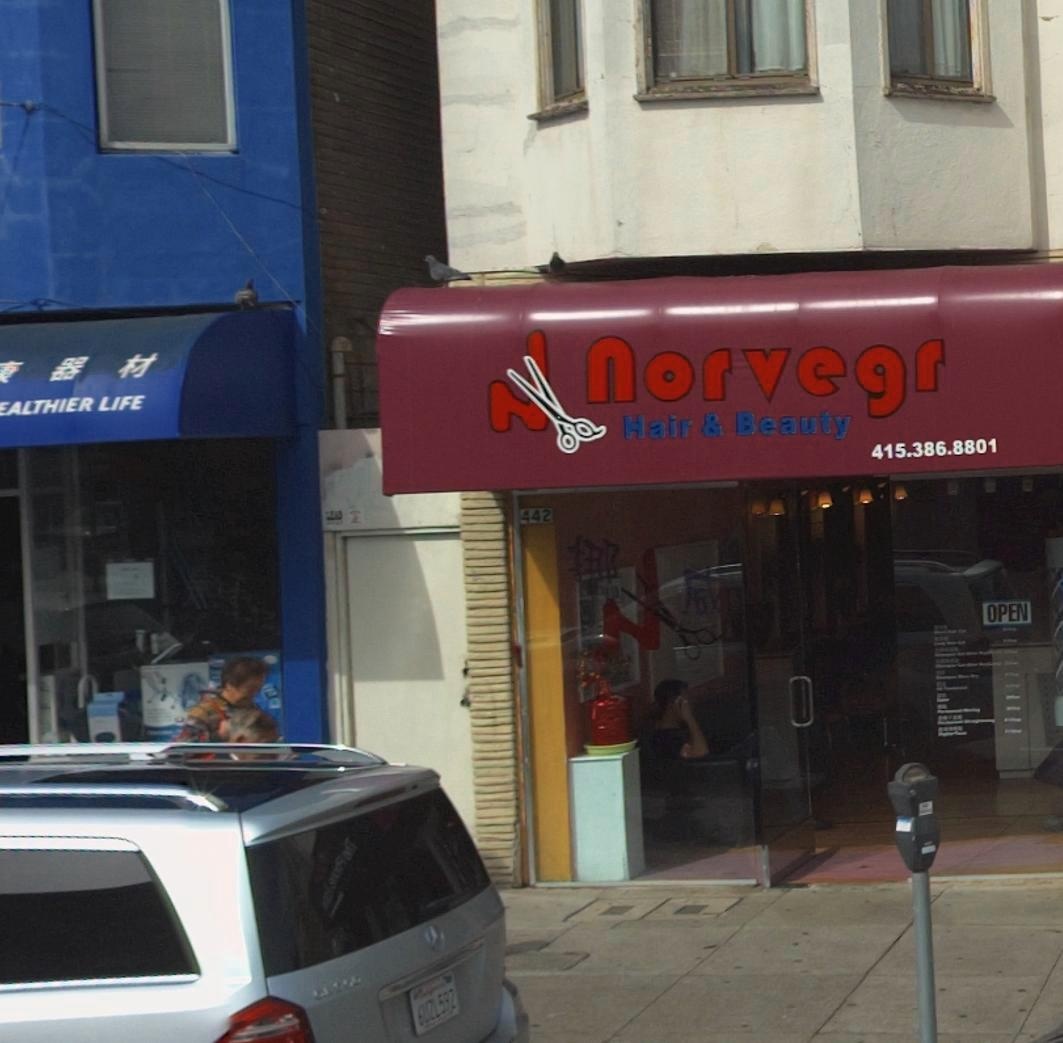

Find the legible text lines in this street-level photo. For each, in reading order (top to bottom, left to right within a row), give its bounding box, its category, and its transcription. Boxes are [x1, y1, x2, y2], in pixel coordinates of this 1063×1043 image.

[585, 333, 946, 420] BusinessName: norvegr
[3, 393, 147, 417] BusinessName: ALTHIER LIFE
[622, 409, 853, 441] BusinessName: Hair & Beauty
[867, 436, 999, 461] None: 415.386.8801
[520, 508, 553, 524] StreetNumber: 442
[987, 602, 1028, 623] None: OPEN
[417, 987, 458, 1029] None: 6UZL592